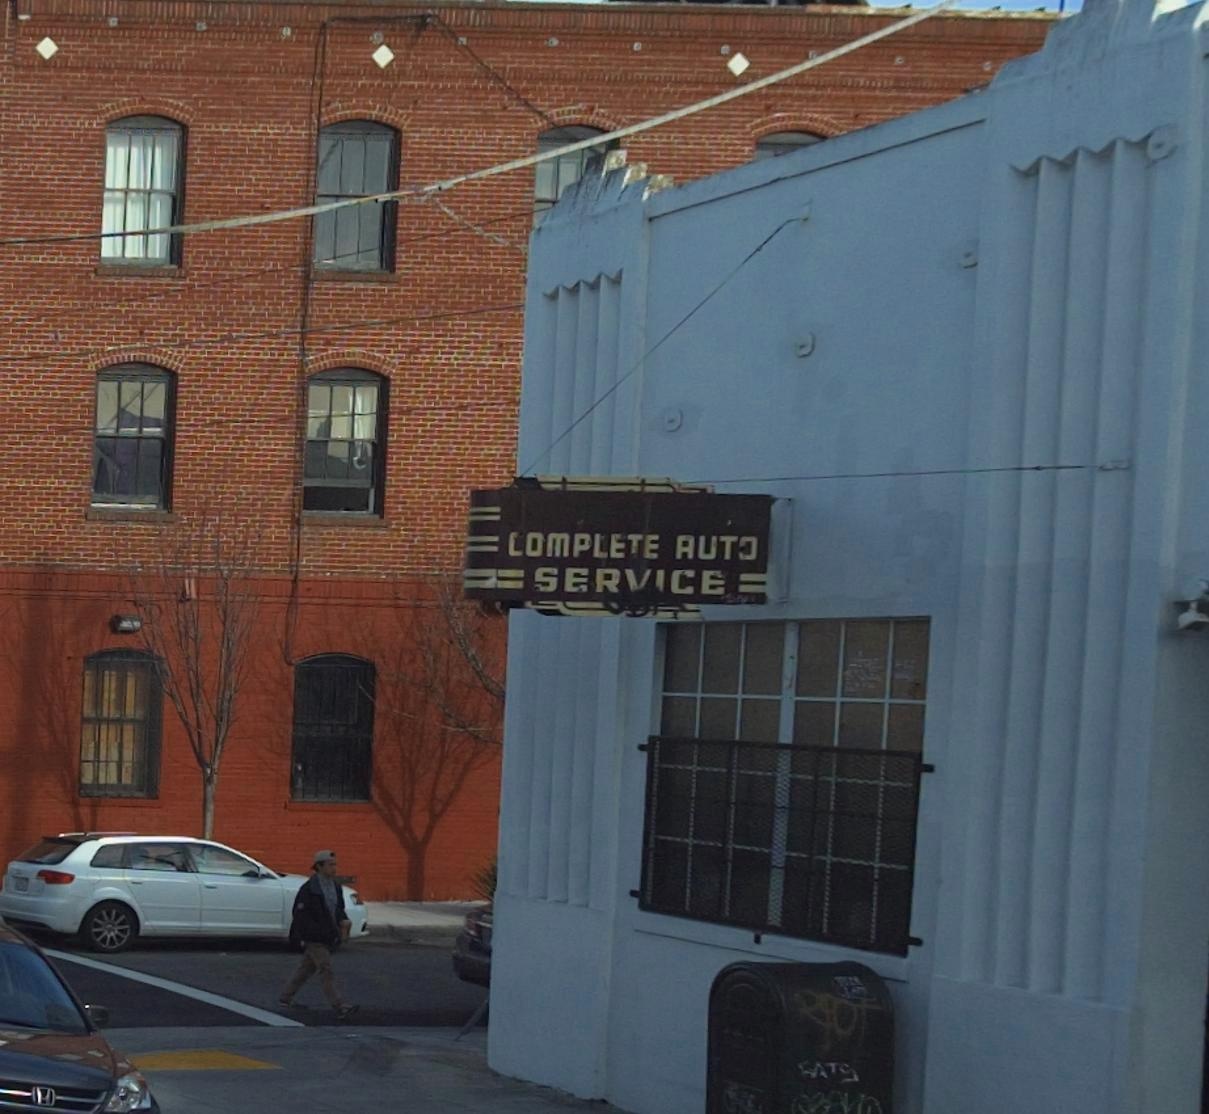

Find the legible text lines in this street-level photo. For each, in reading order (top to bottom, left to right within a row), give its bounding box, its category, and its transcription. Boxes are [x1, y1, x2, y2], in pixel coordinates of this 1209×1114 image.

[503, 528, 762, 564] None: COMPLETE AUTO
[529, 562, 729, 598] None: SERVICE
[35, 1086, 54, 1106] None: H